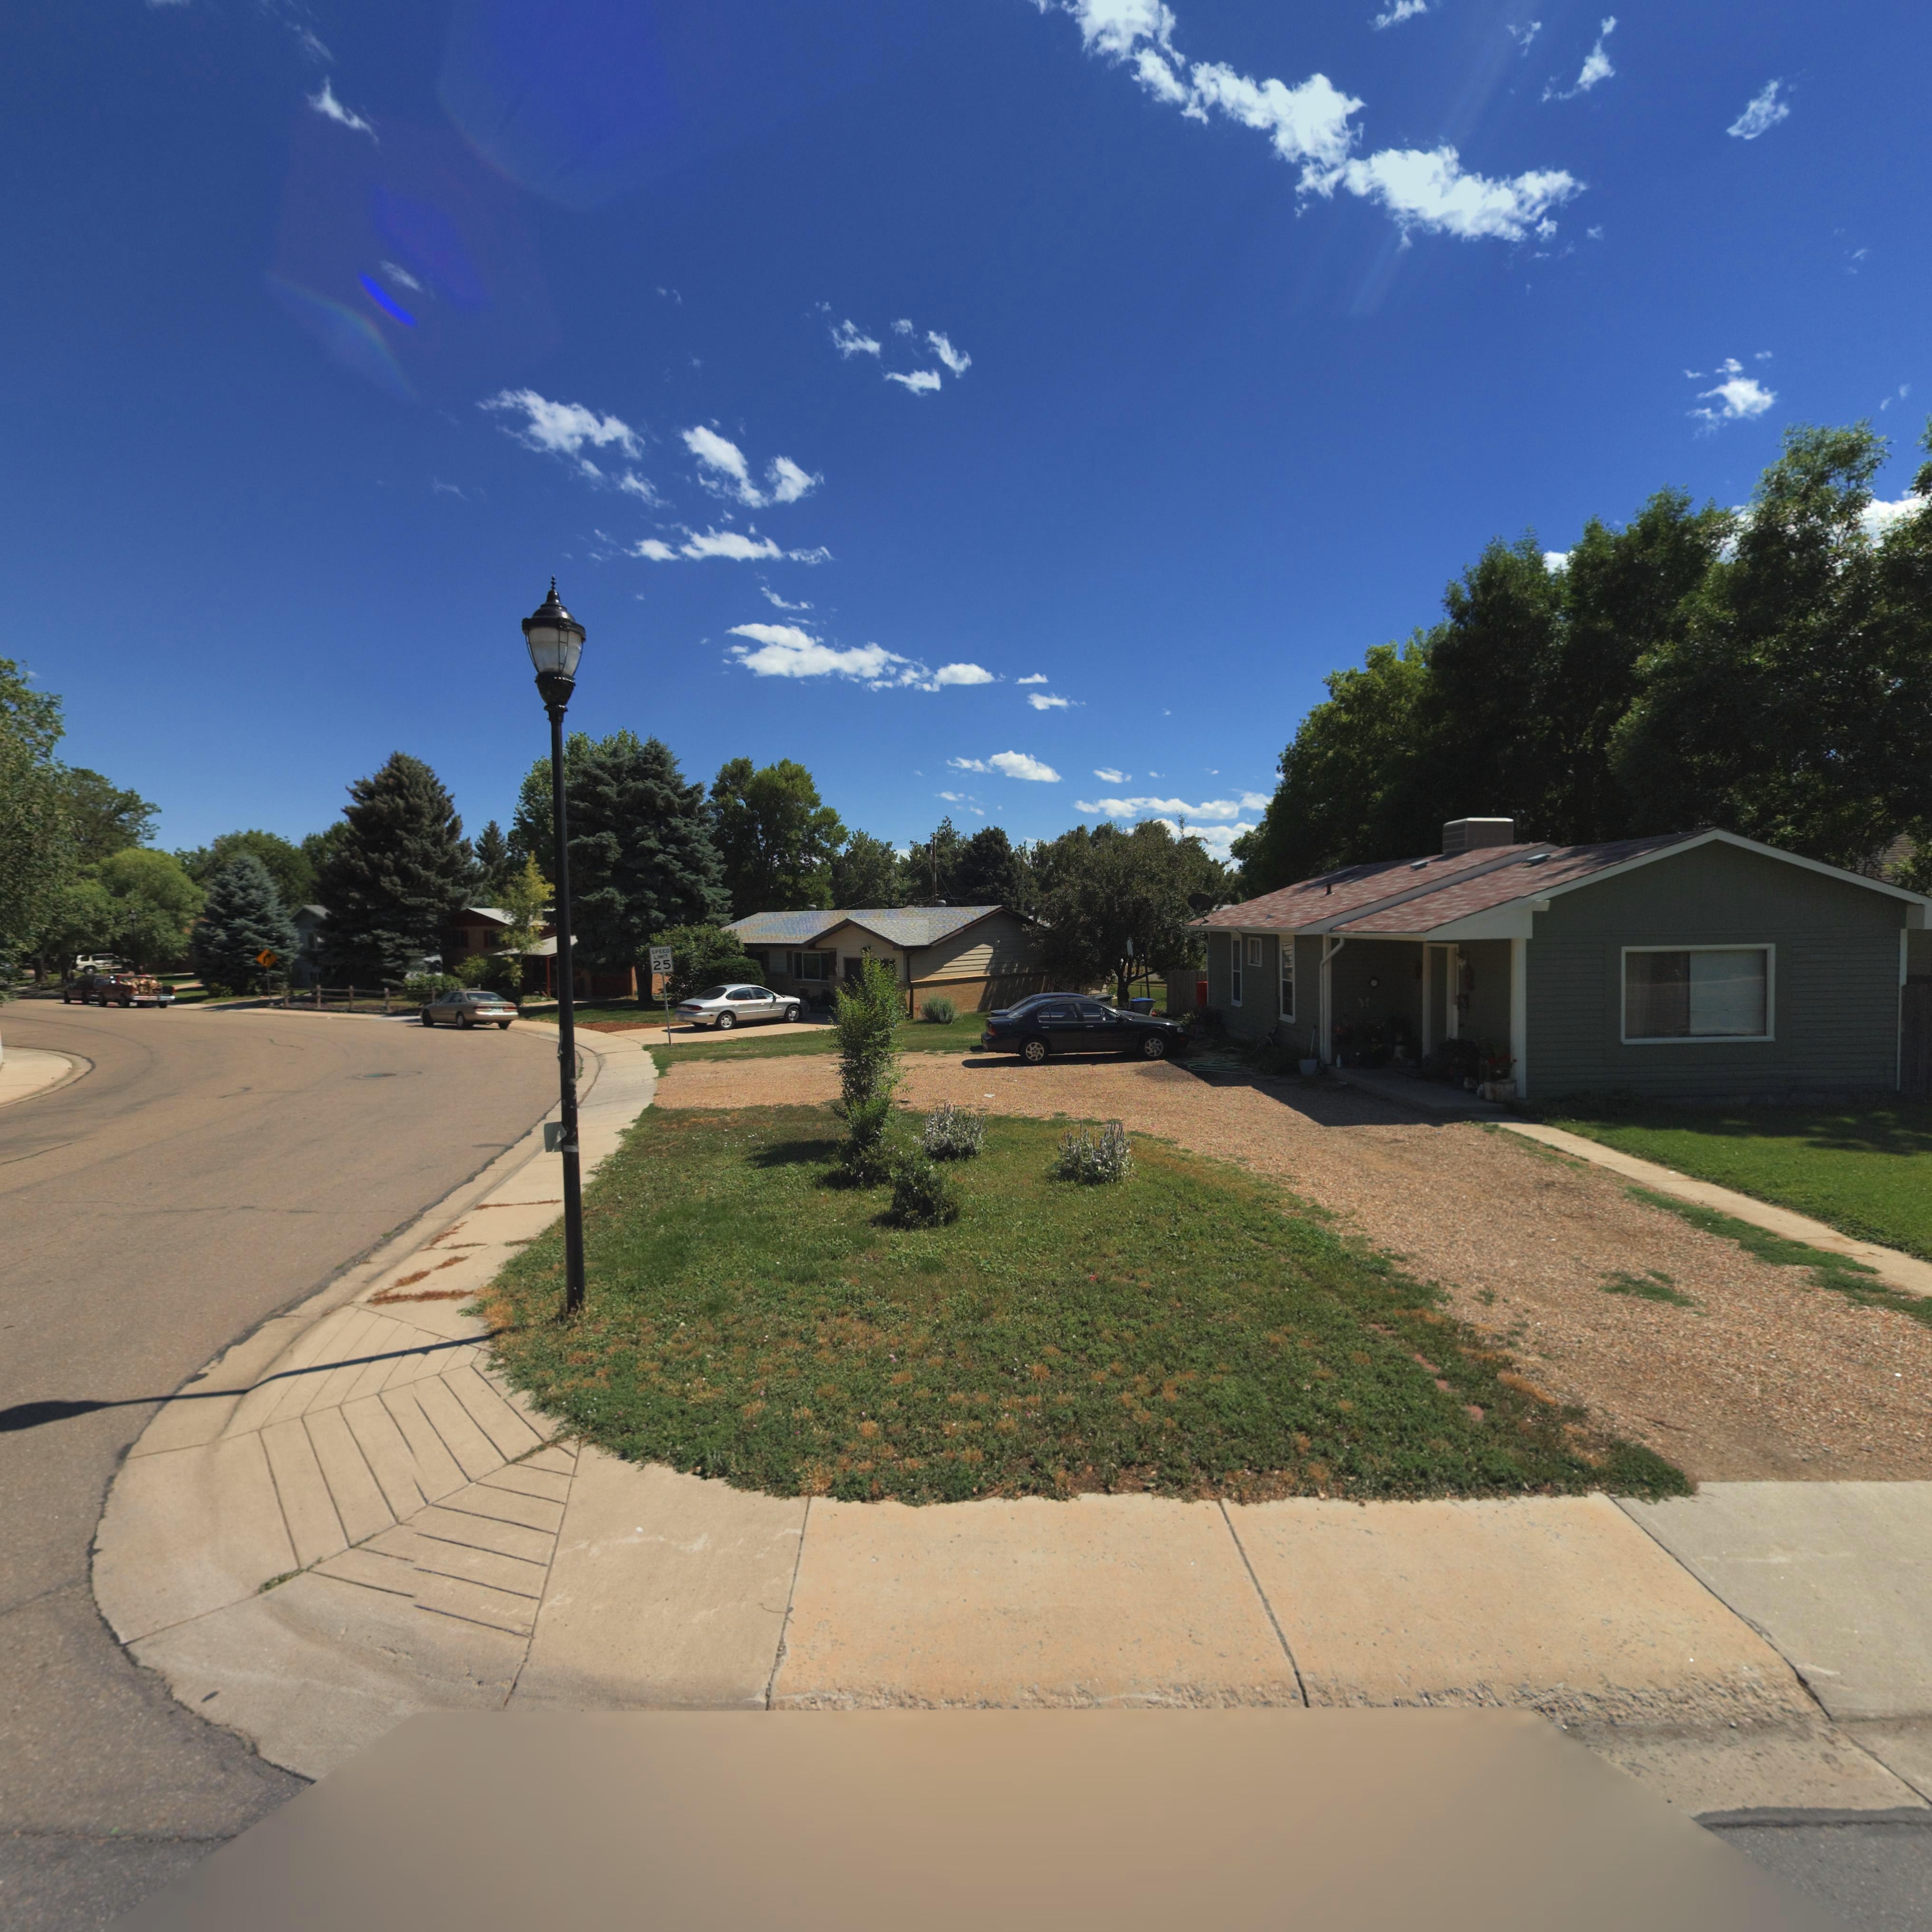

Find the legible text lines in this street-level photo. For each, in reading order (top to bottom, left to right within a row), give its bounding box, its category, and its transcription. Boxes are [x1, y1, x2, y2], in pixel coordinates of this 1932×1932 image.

[1458, 959, 1463, 970] StreetNumber: 4